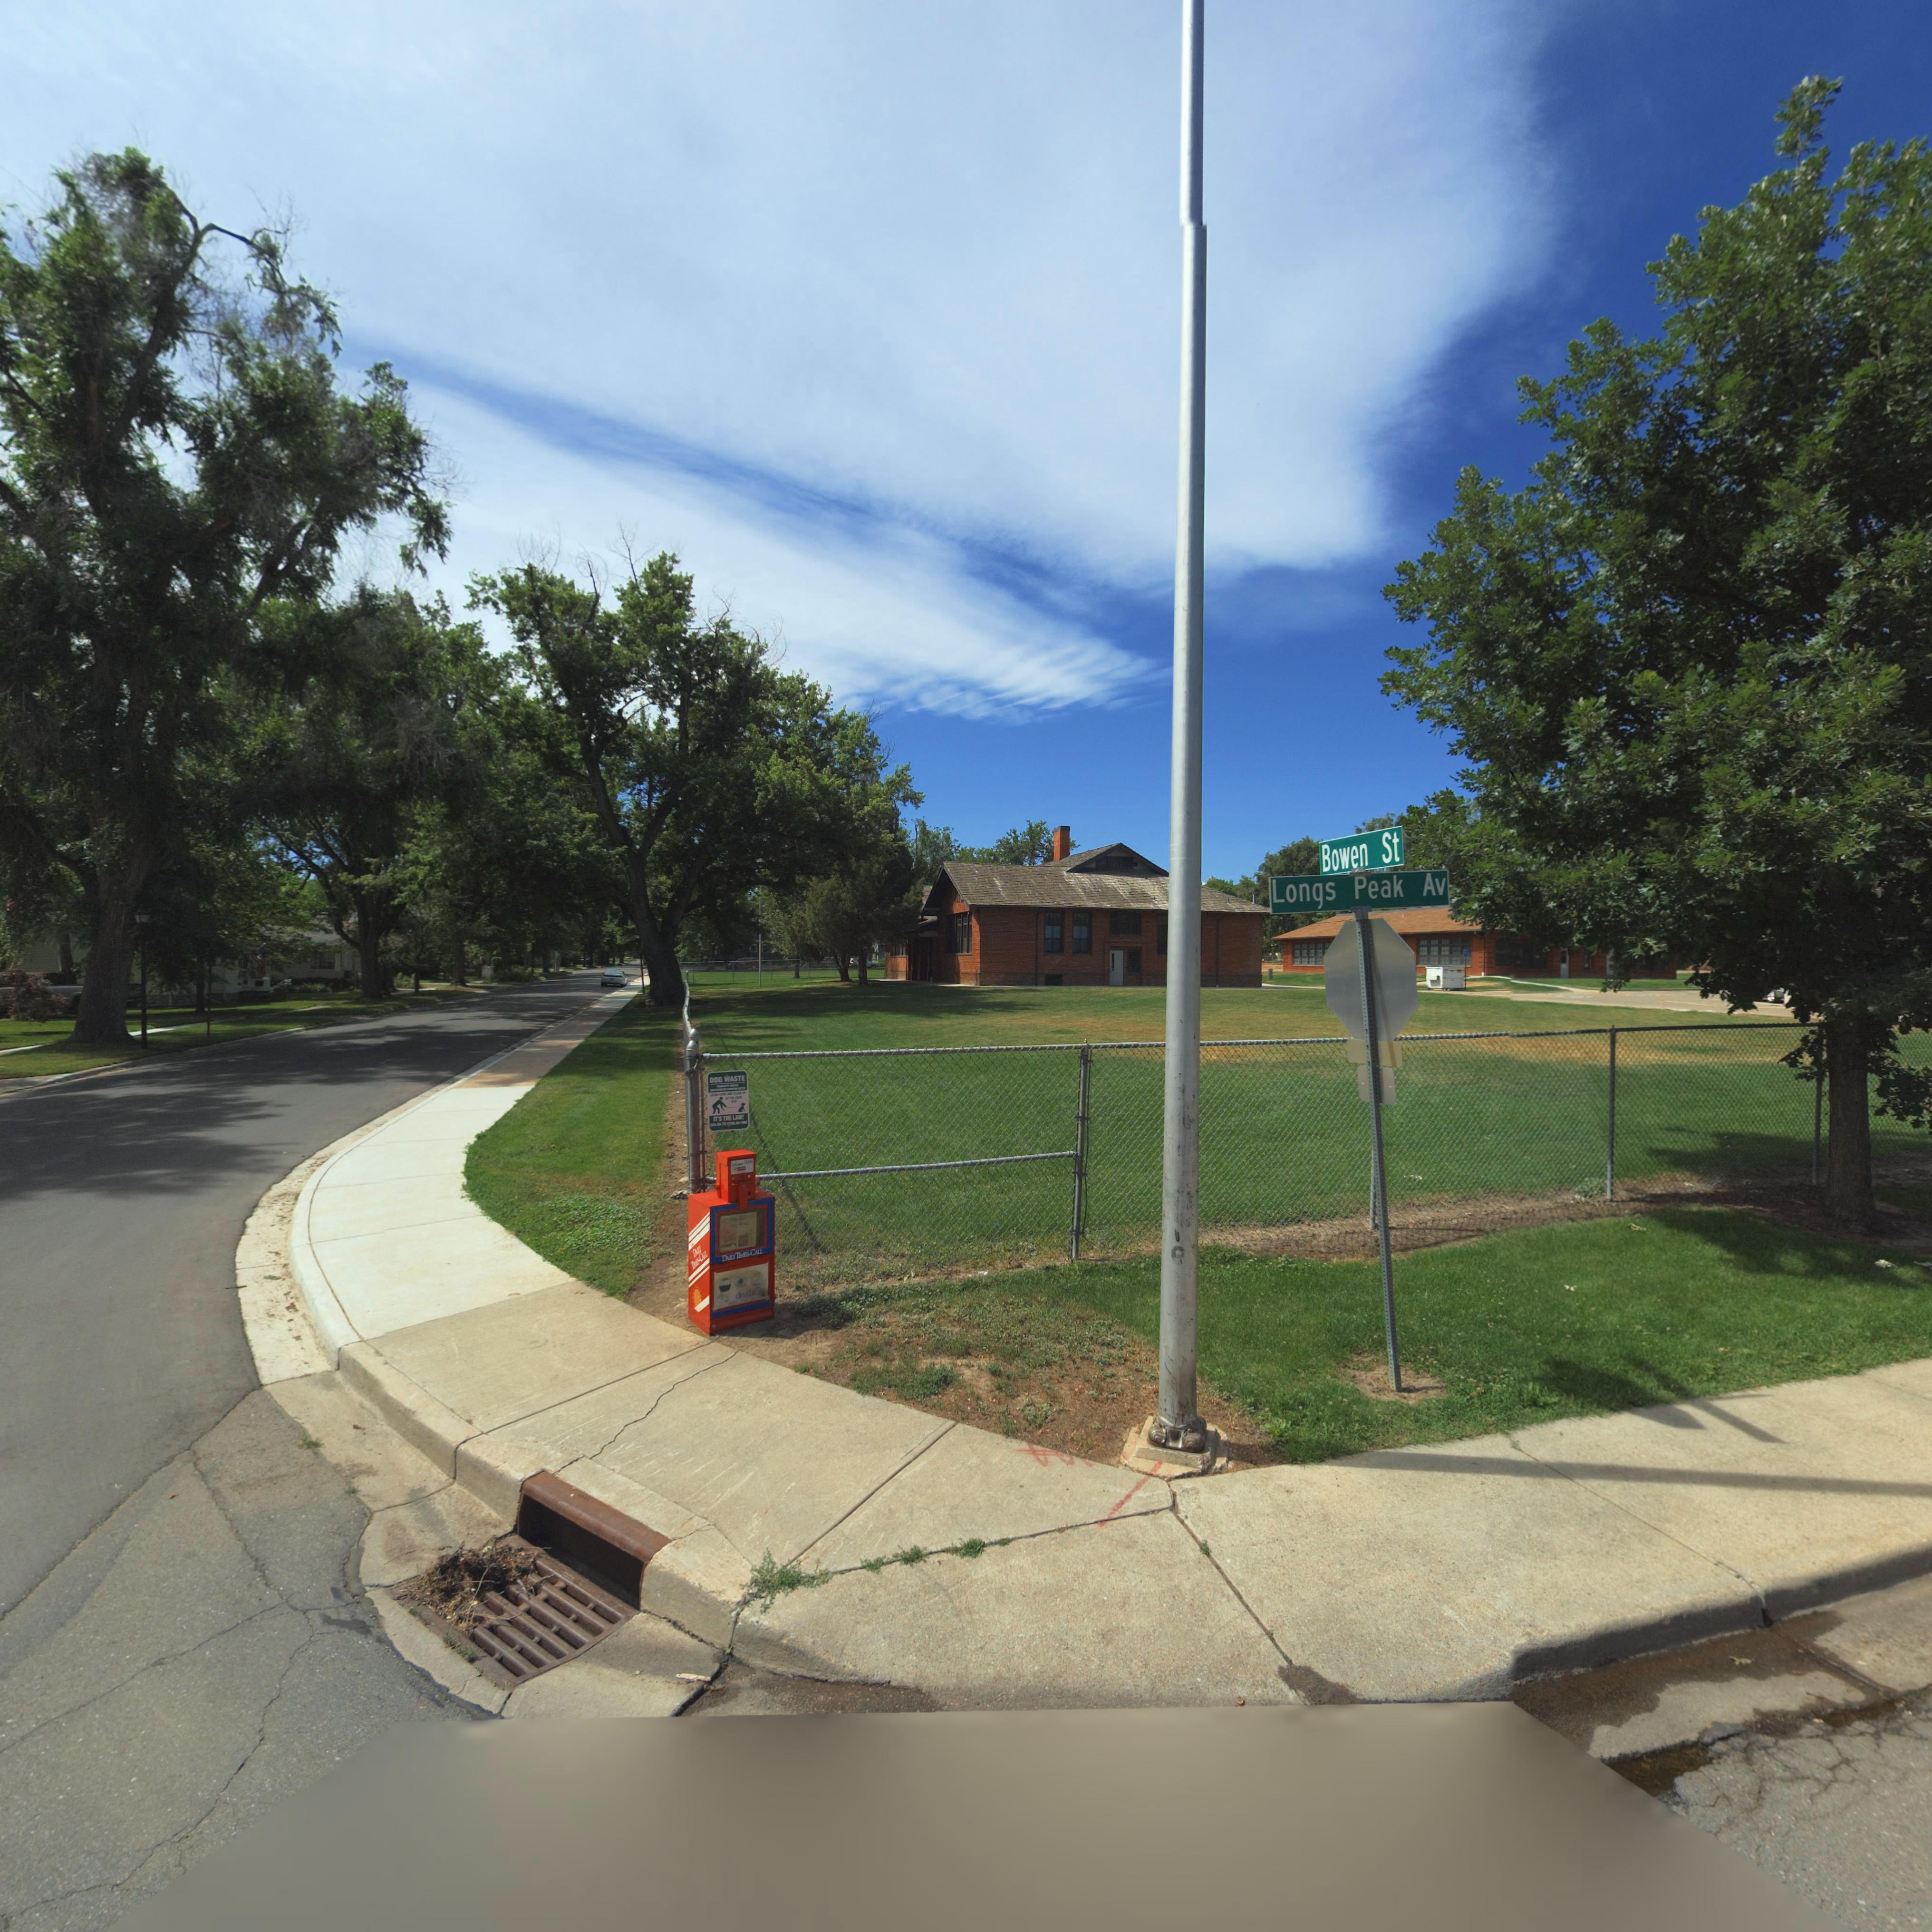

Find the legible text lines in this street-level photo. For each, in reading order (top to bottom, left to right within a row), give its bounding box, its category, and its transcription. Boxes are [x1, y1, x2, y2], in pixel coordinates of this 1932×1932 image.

[1320, 828, 1402, 873] StreetName: Bowen St
[1270, 871, 1448, 911] StreetName: Longs Peak Av